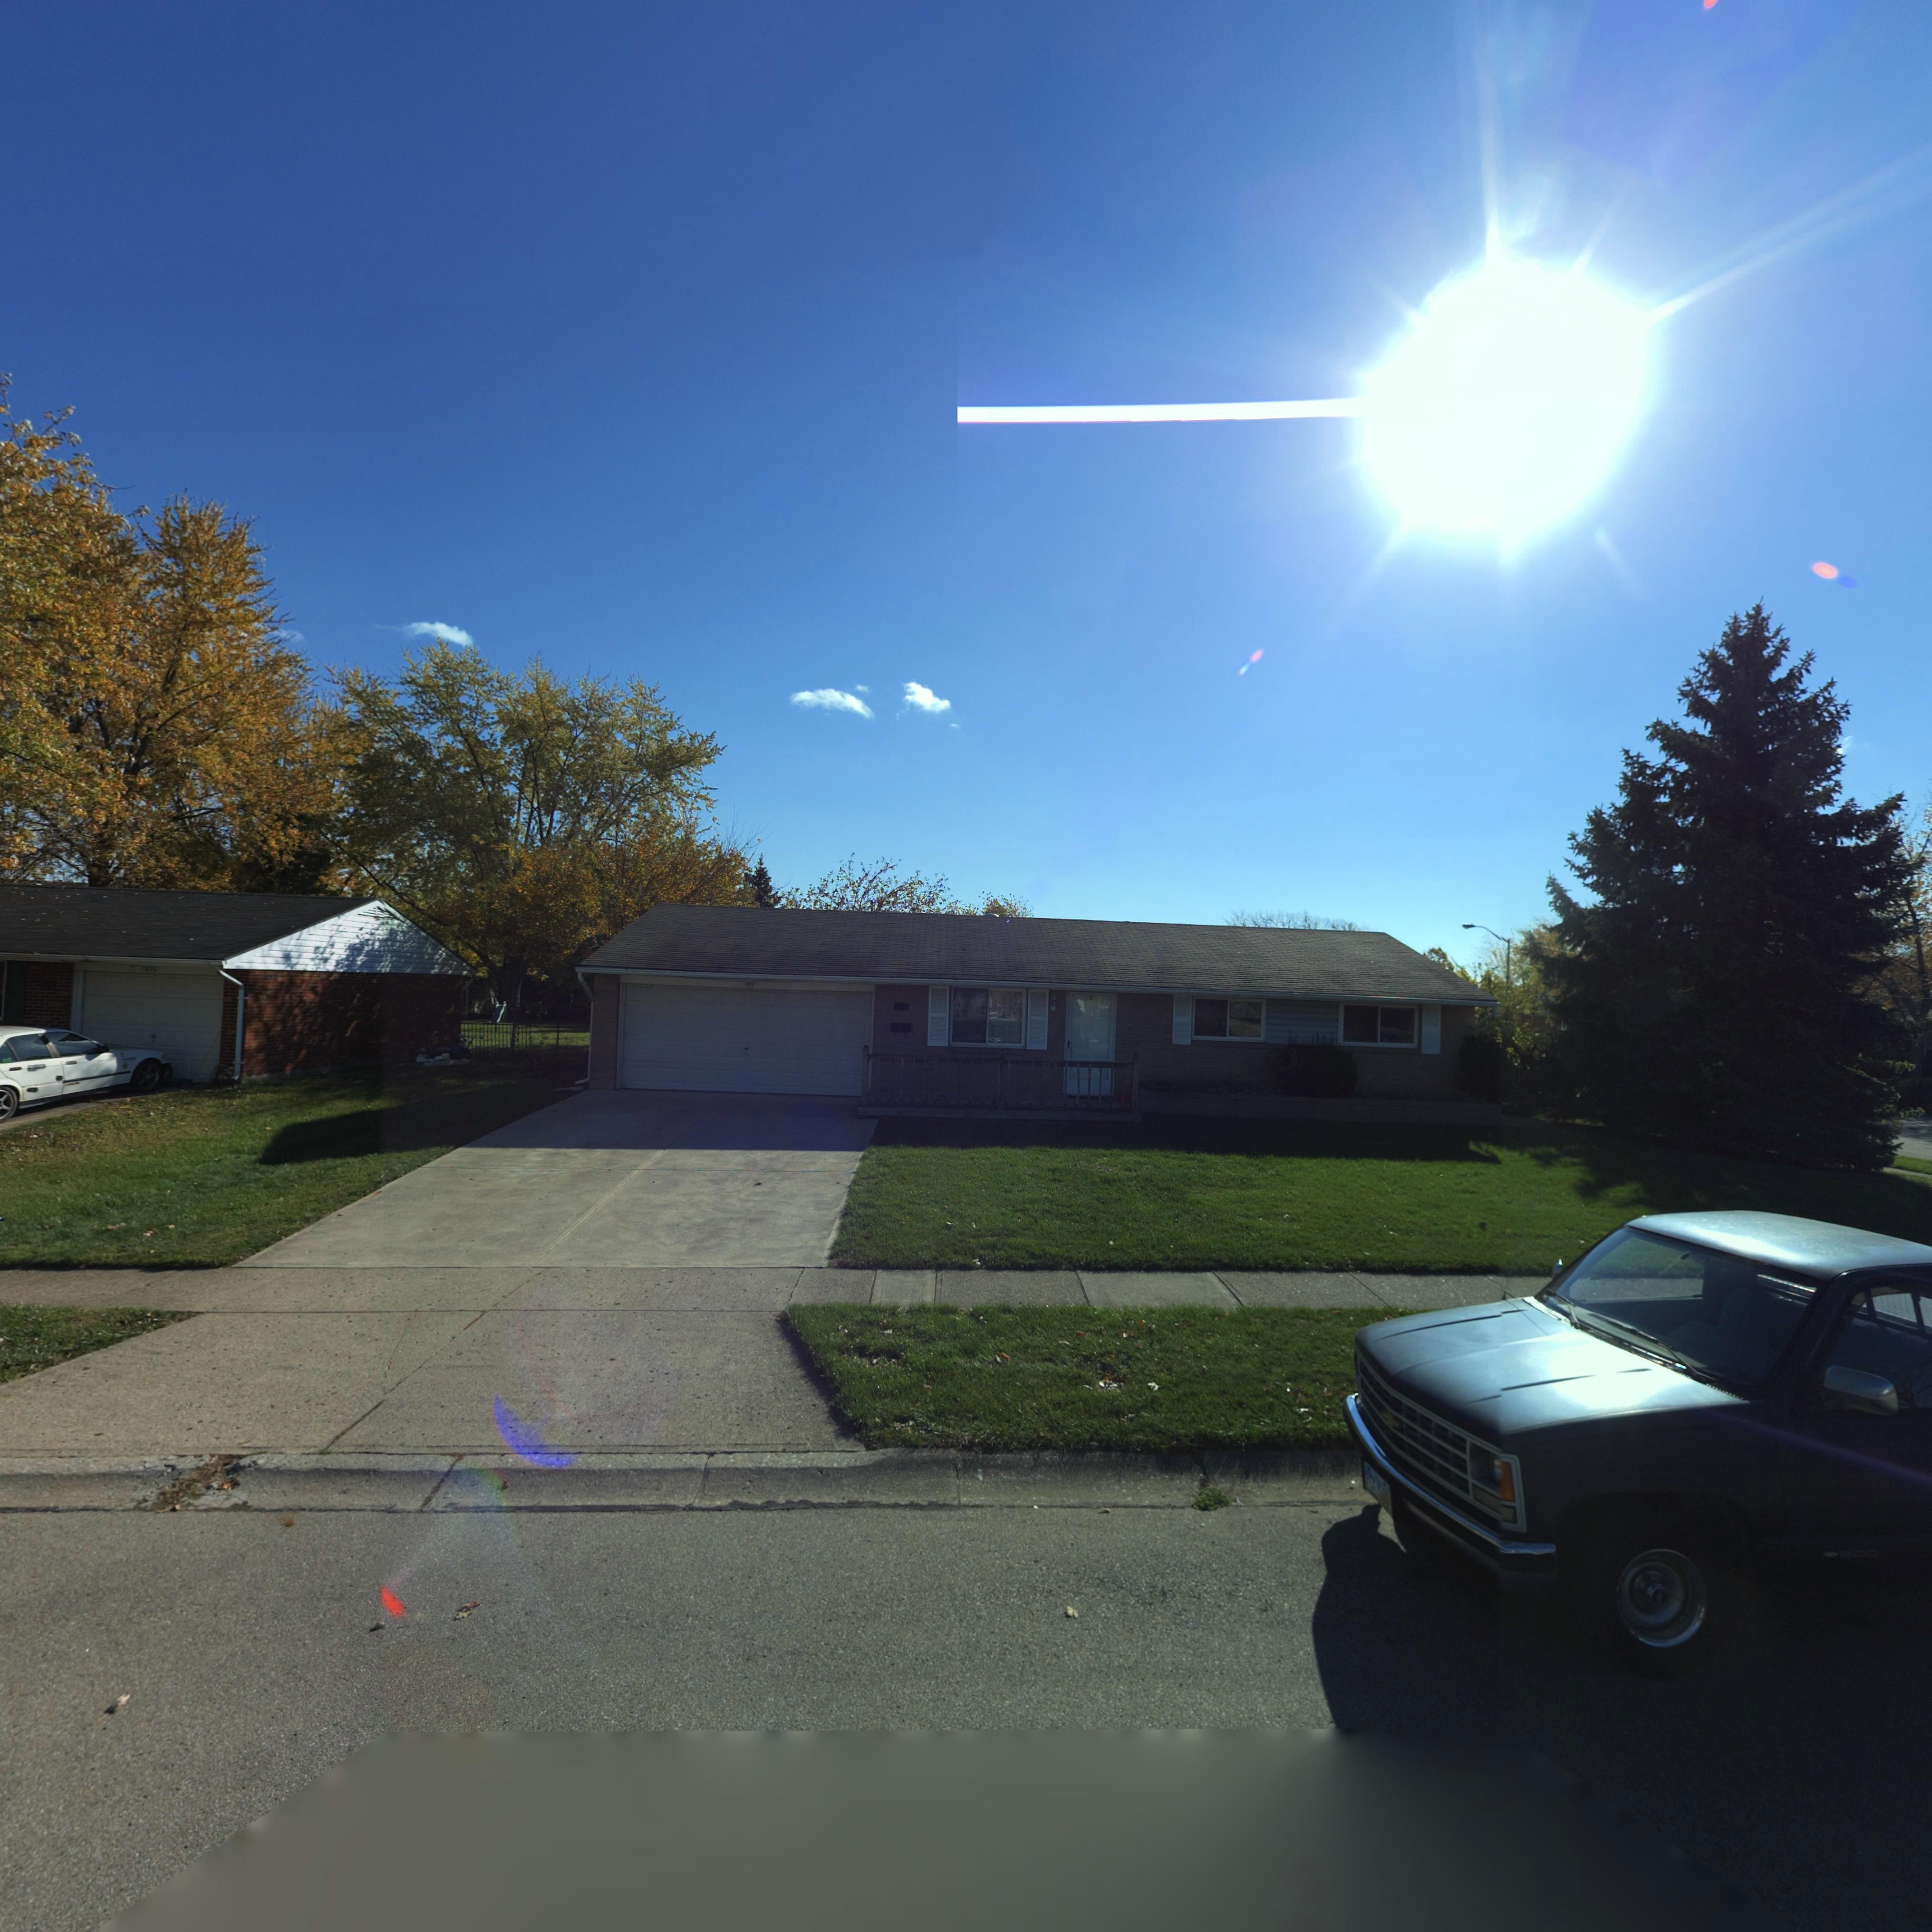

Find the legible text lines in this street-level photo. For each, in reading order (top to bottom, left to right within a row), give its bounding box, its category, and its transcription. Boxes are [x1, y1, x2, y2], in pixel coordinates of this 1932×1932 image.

[139, 965, 159, 973] StreetNumber: **20